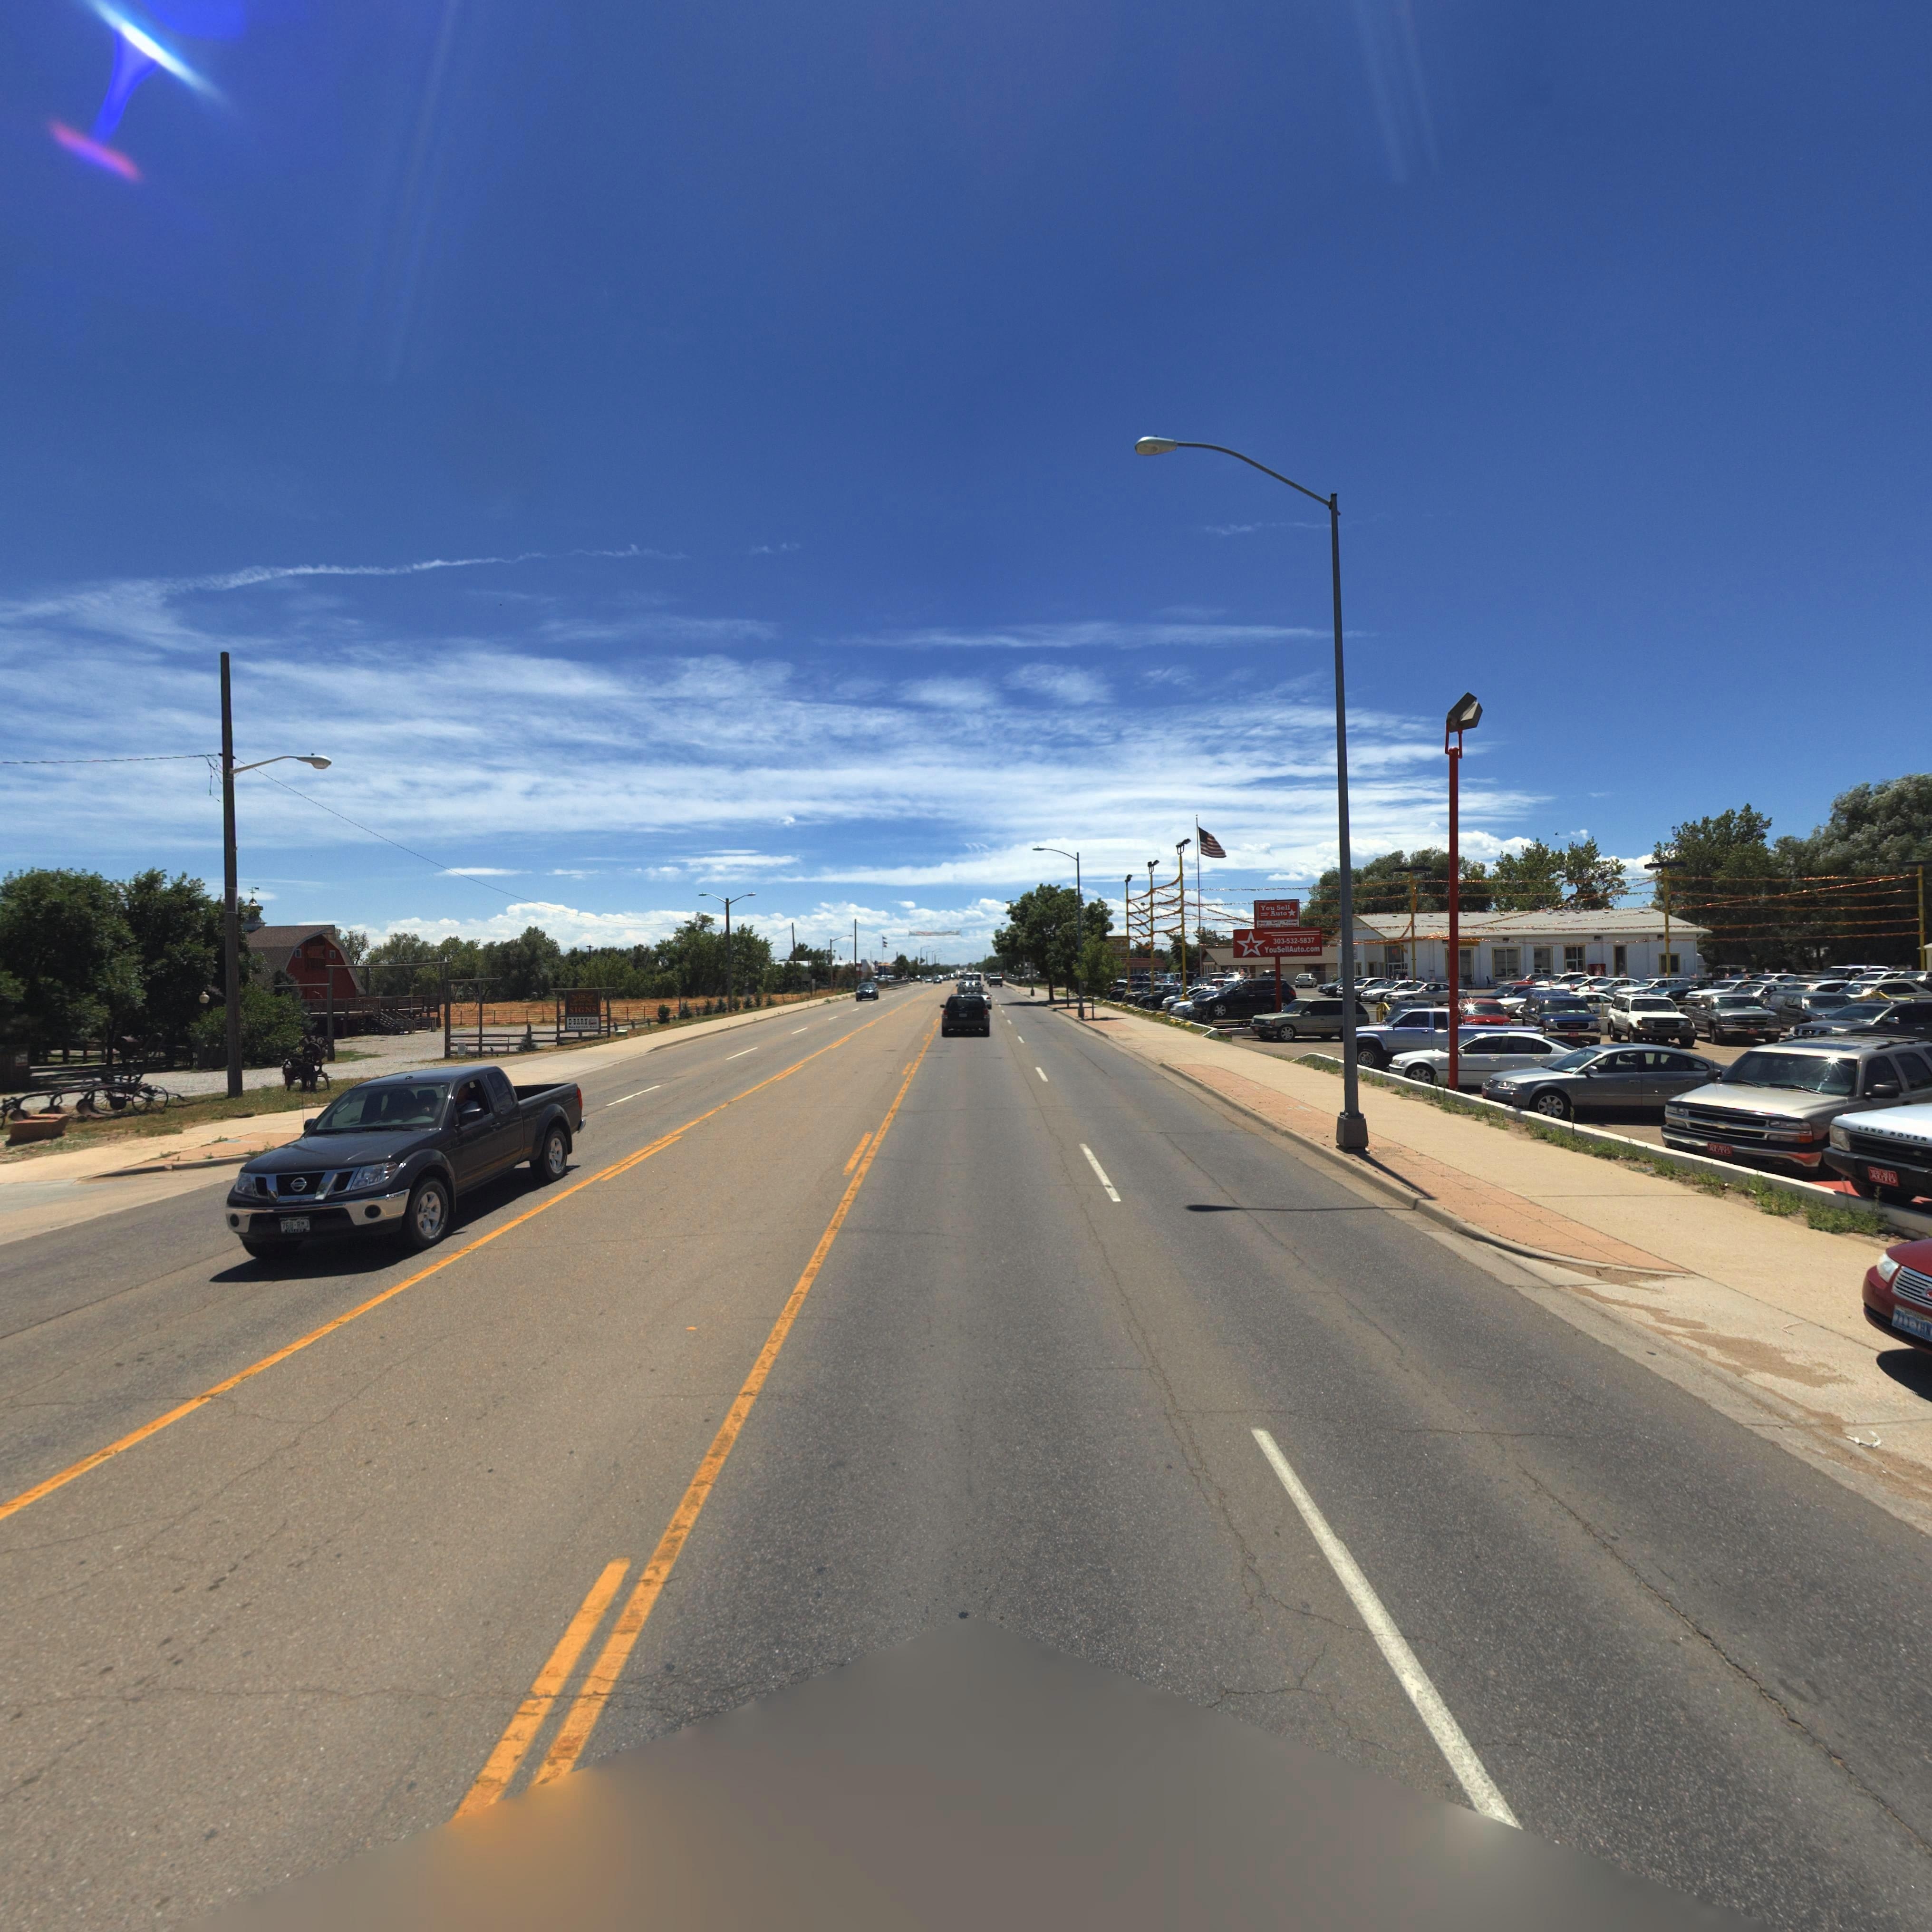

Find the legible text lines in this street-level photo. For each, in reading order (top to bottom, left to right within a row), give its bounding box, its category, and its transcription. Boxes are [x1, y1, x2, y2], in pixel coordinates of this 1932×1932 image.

[1259, 904, 1290, 910] BusinessName: You Sell
[1270, 911, 1287, 916] BusinessName: Auto
[568, 1018, 588, 1025] BusinessName: D-BARN
[303, 1034, 325, 1045] StreetNumber: 136